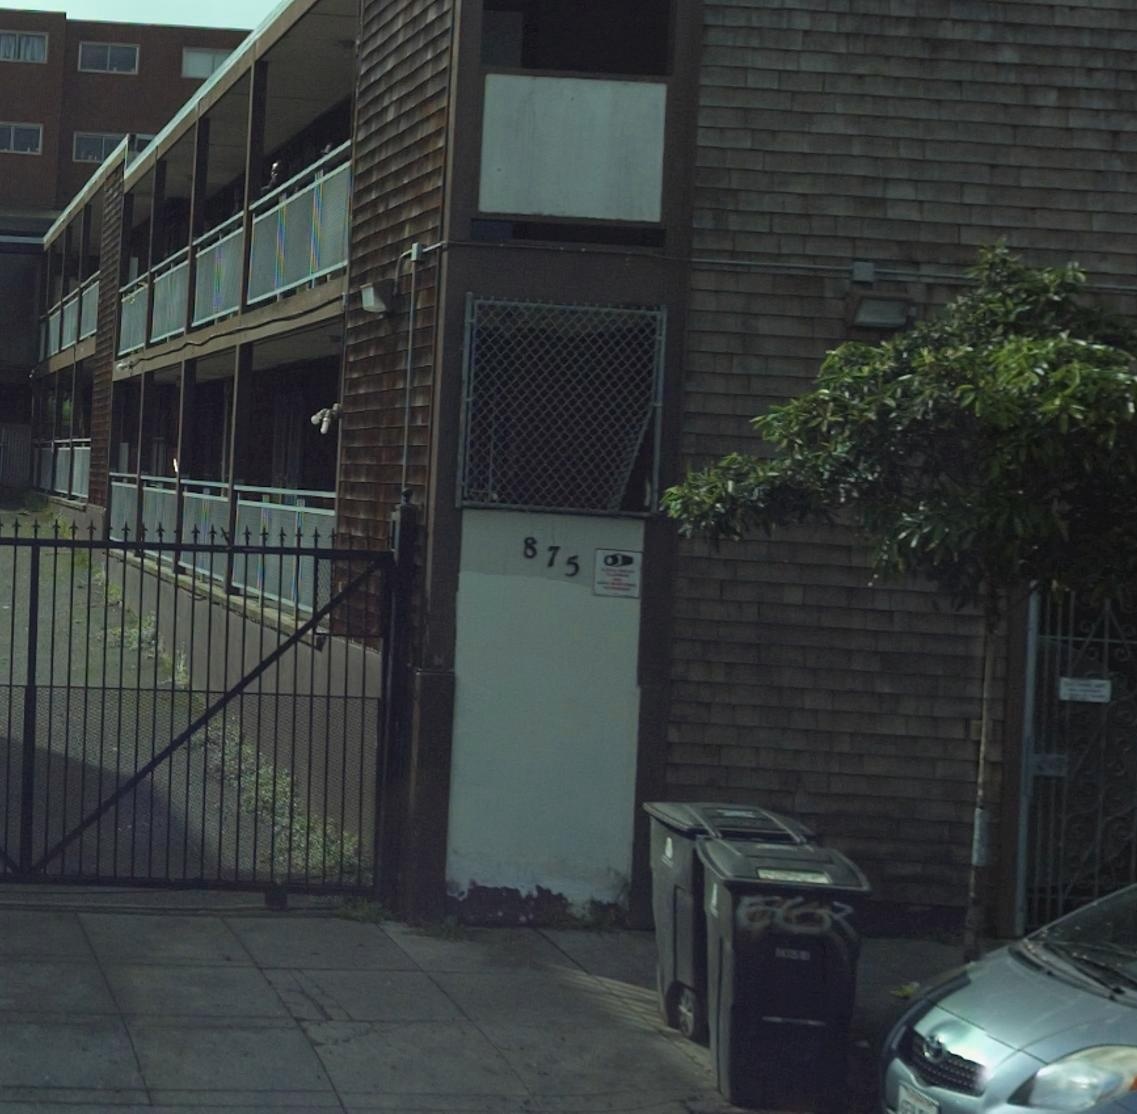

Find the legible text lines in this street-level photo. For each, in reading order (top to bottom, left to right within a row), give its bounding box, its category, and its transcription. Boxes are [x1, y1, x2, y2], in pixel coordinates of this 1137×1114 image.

[521, 534, 582, 579] StreetNumber: 875